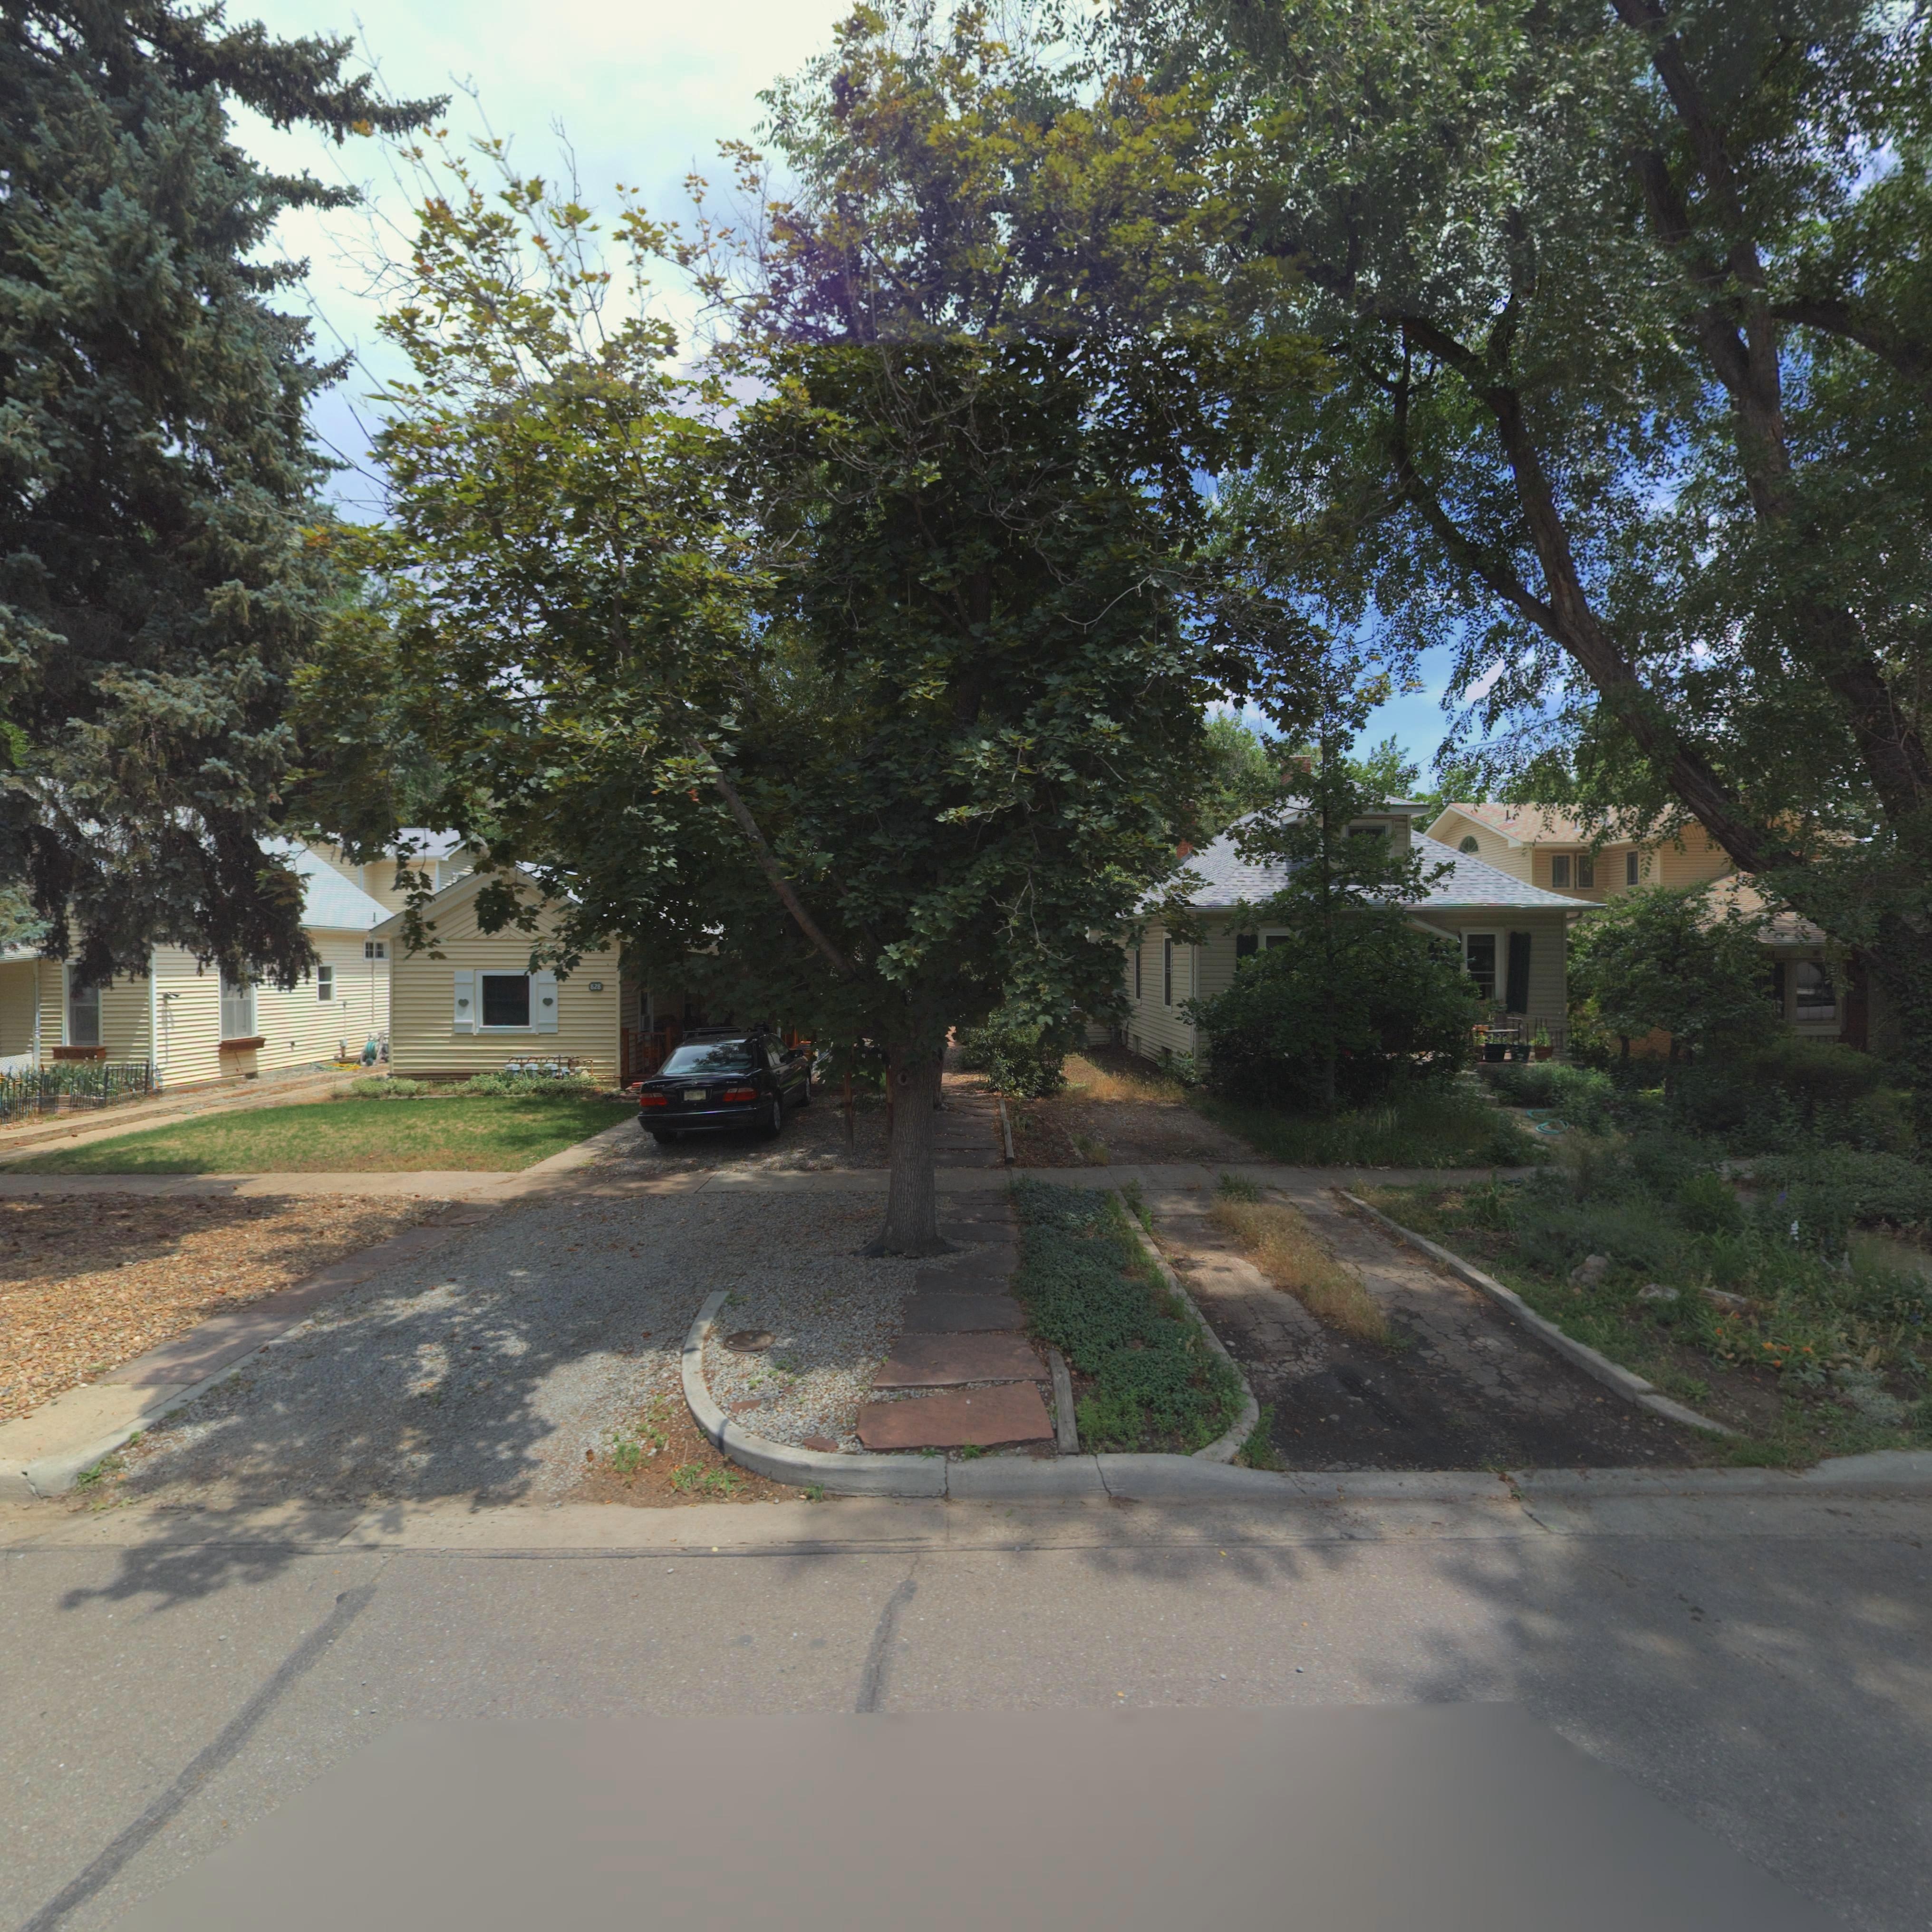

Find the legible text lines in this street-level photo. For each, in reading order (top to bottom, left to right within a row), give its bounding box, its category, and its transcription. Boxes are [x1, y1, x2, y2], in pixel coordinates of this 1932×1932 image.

[589, 983, 601, 990] StreetNumber: 828